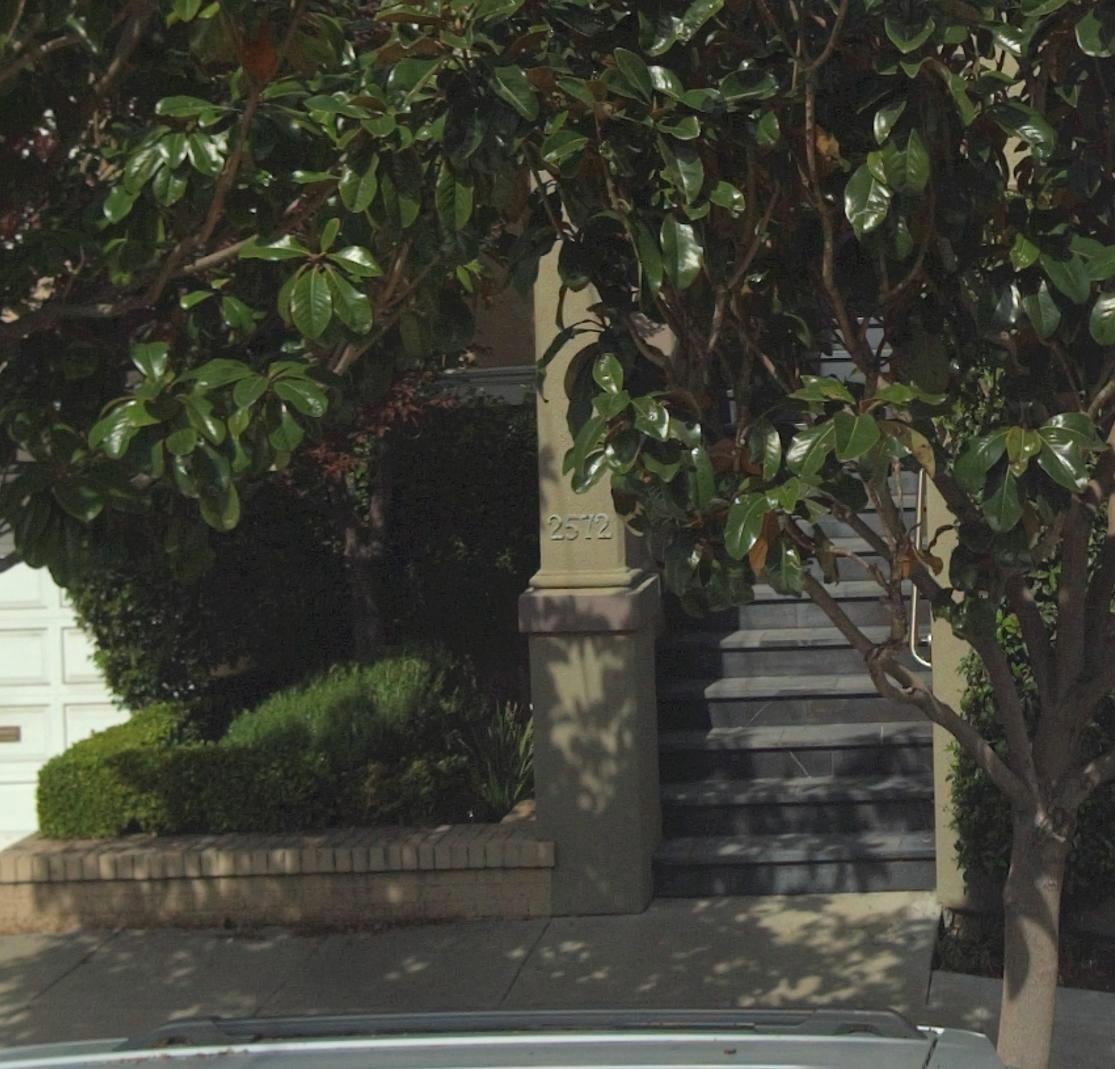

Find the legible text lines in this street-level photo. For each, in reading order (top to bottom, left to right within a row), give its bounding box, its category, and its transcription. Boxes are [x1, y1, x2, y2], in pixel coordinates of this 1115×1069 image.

[546, 511, 614, 542] StreetNumber: 2572